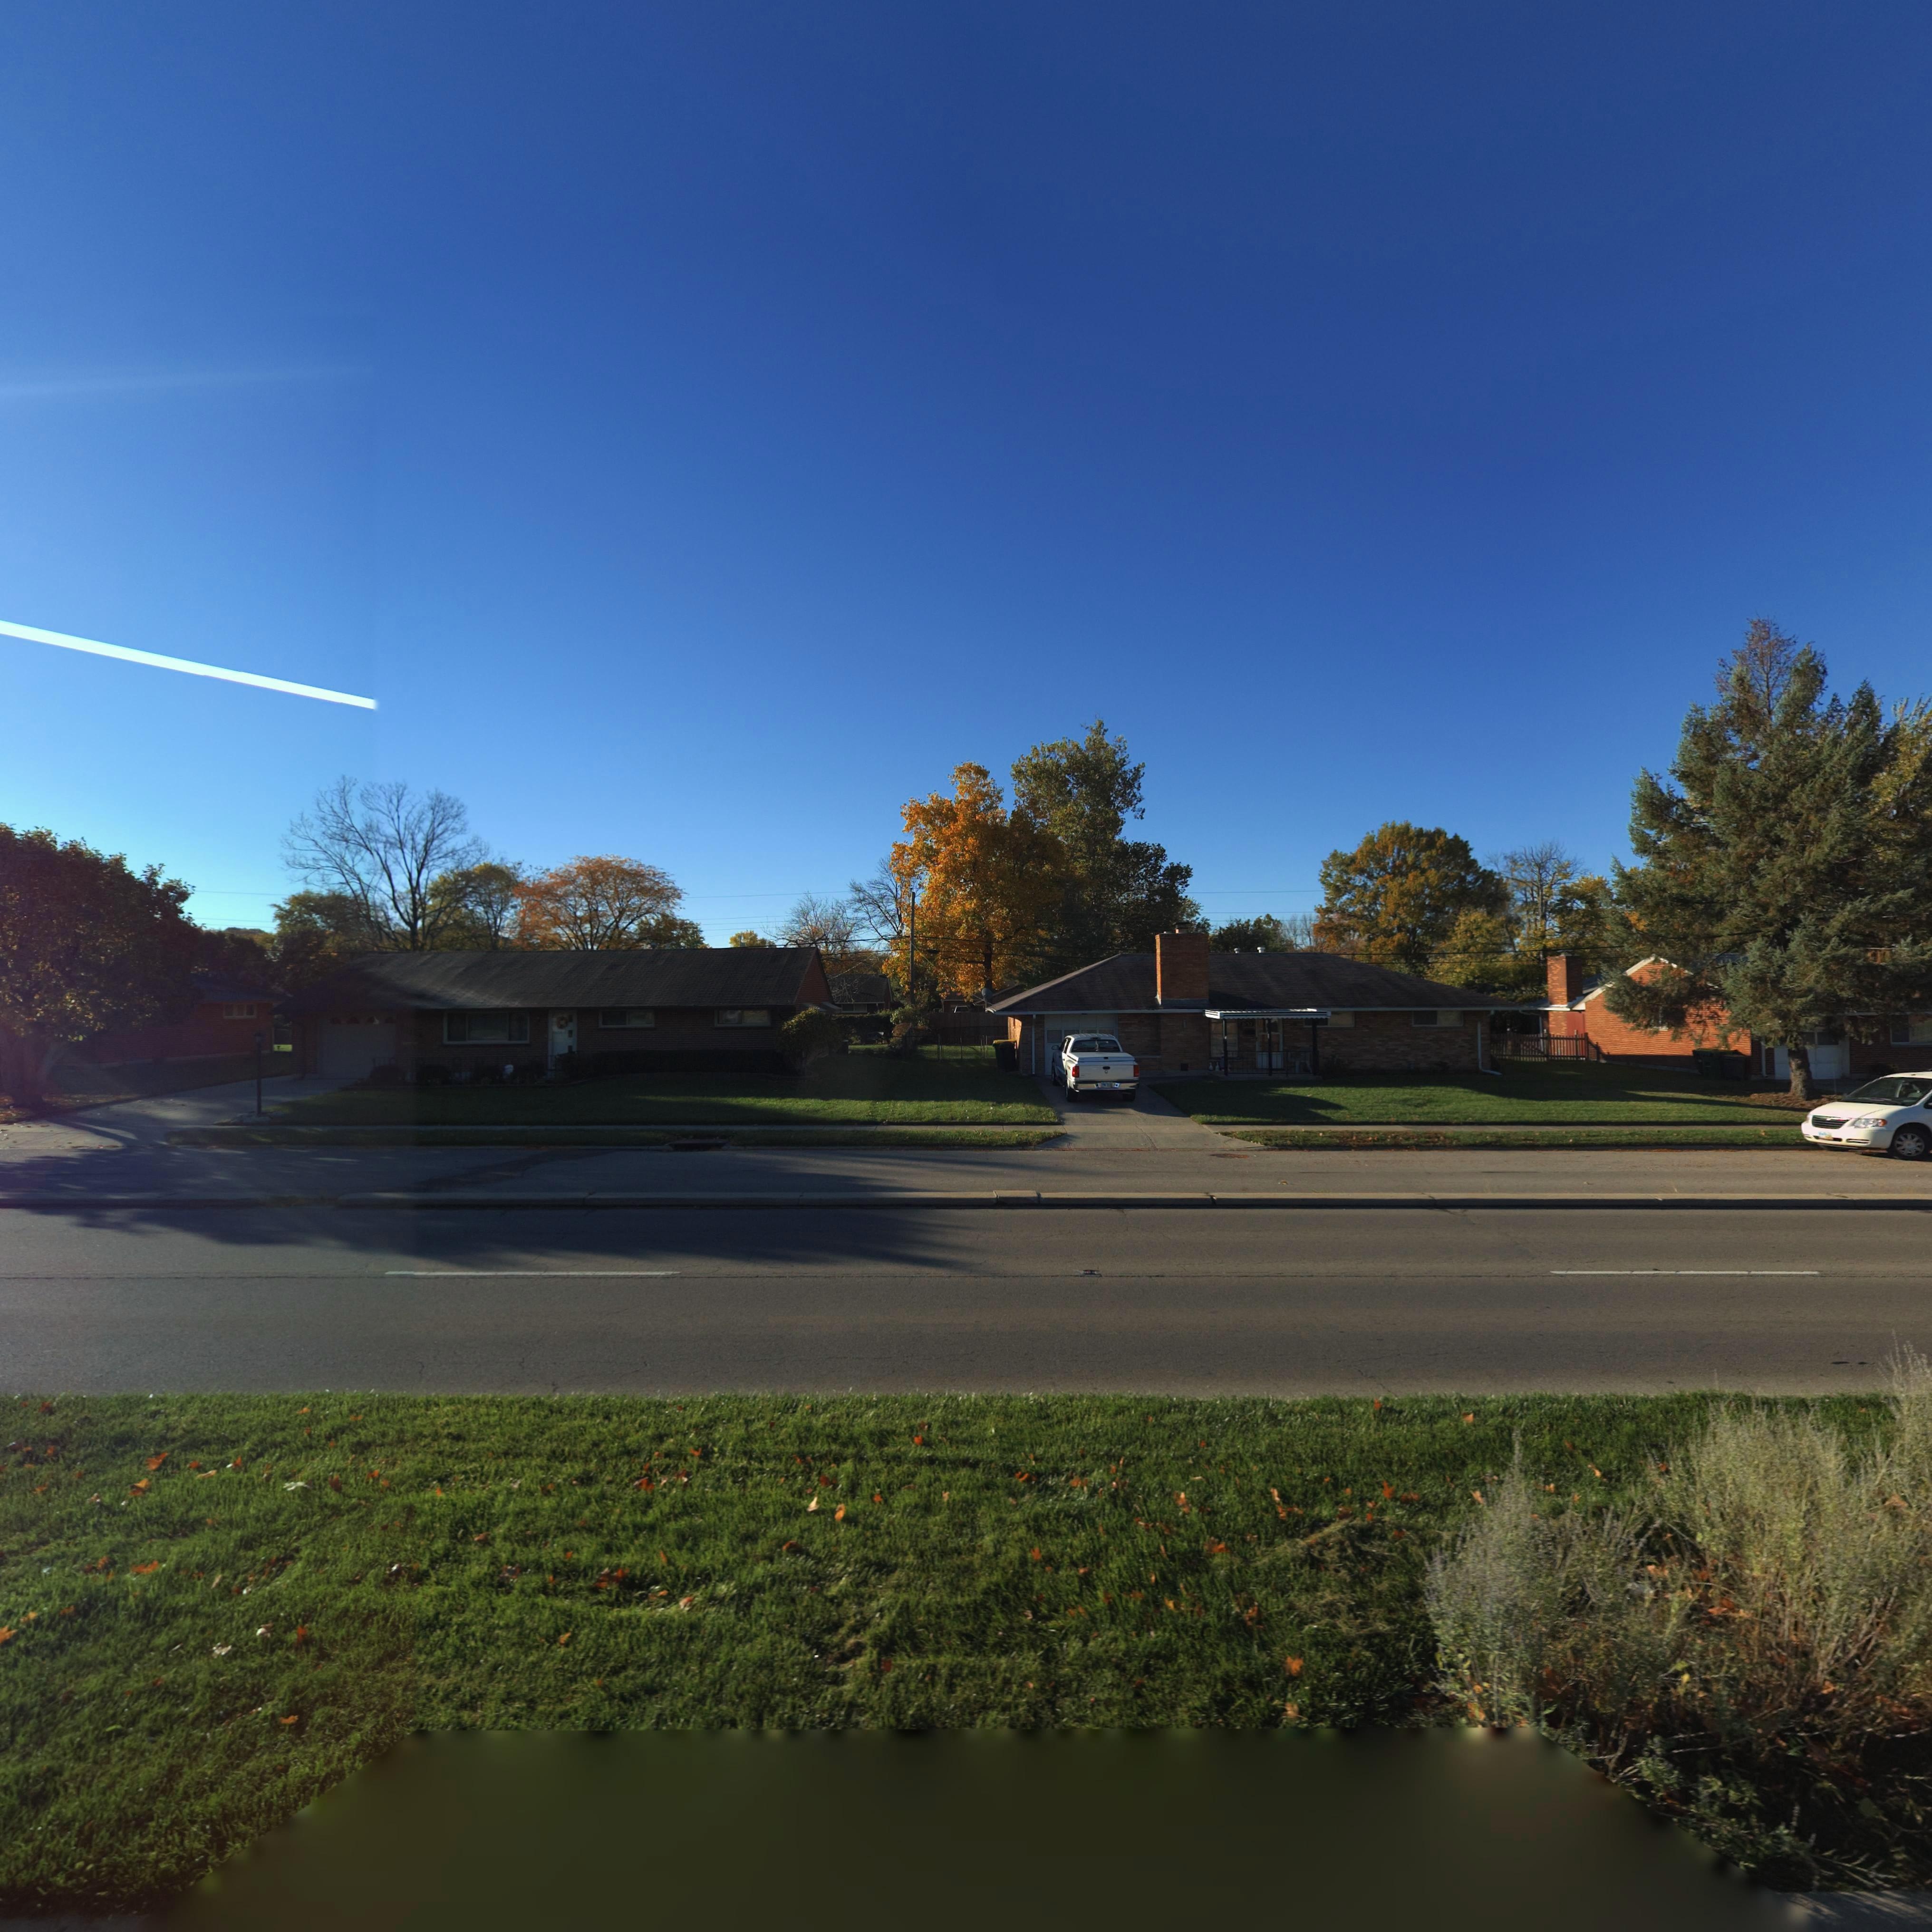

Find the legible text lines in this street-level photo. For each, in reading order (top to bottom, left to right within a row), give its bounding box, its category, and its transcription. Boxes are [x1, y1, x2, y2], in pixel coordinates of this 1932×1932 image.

[1241, 1021, 1253, 1027] StreetNumber: 2**2